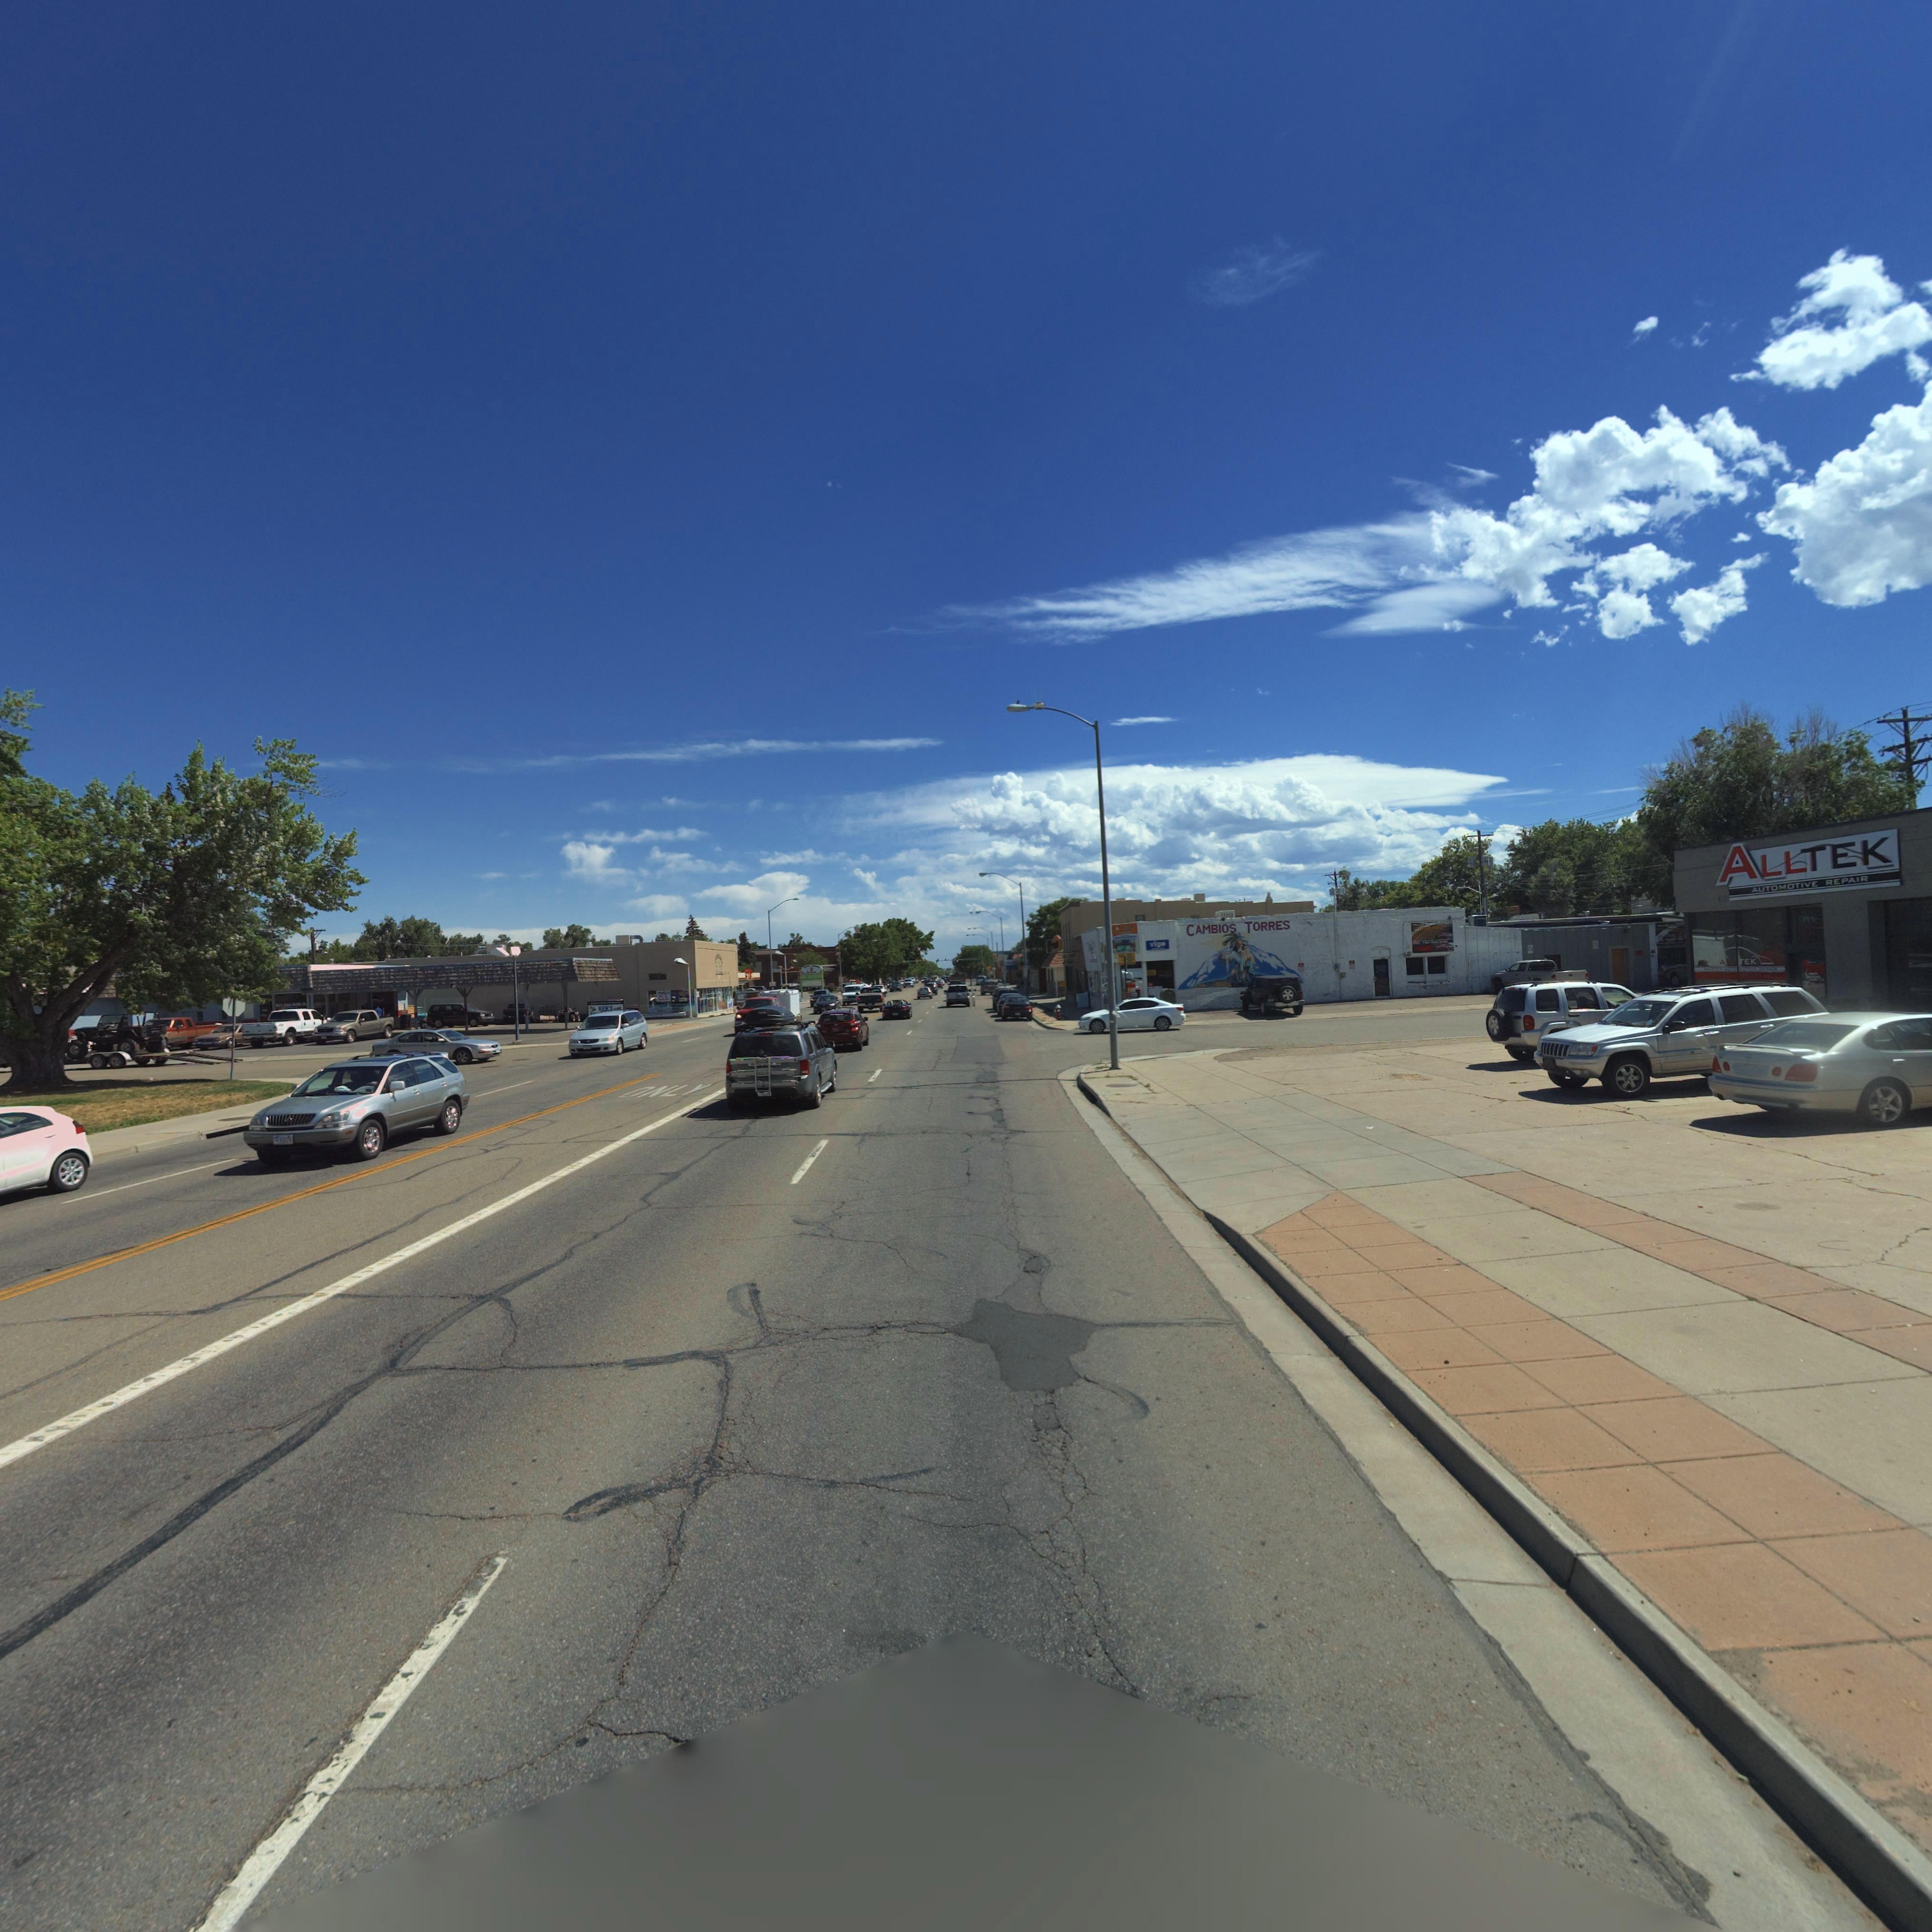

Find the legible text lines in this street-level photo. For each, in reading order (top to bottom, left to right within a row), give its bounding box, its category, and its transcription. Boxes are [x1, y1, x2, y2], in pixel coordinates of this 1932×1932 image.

[1716, 835, 1893, 885] BusinessName: ALLTEK
[1186, 920, 1290, 937] BusinessName: CAMBIOS TORRES
[1719, 957, 1757, 965] BusinessName: A** TEK
[599, 1005, 613, 1011] BusinessName: KEN'S